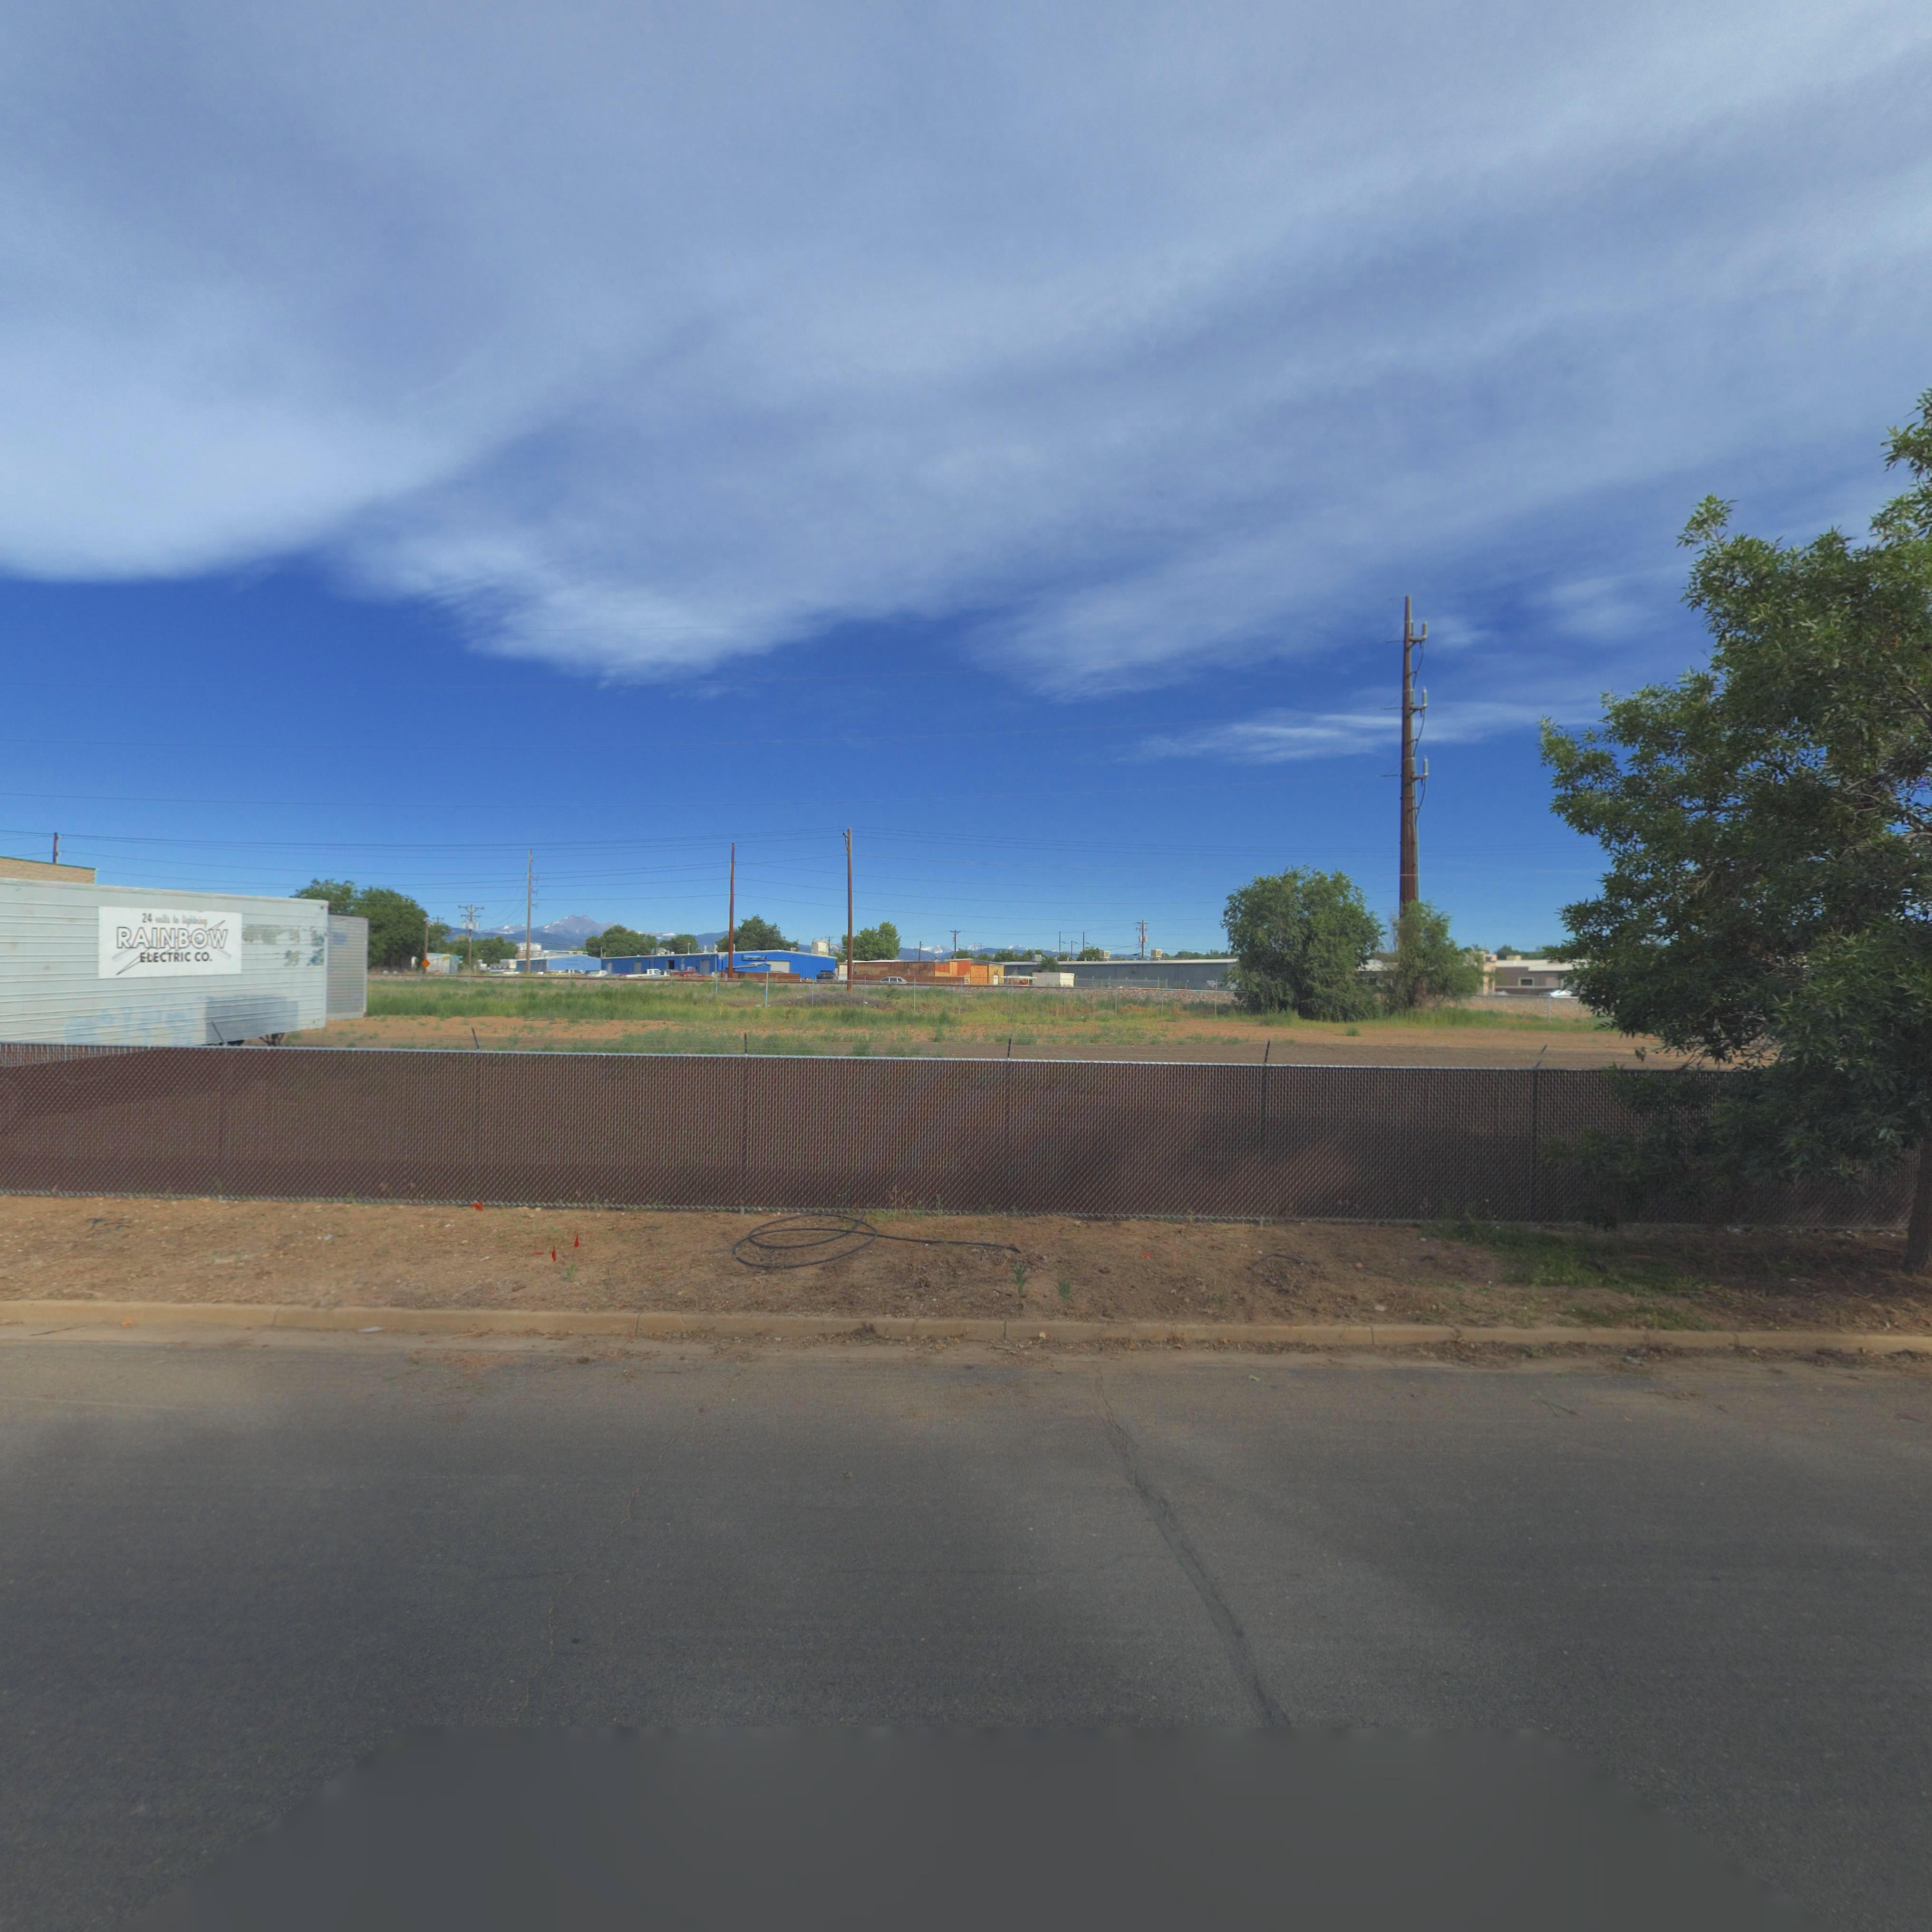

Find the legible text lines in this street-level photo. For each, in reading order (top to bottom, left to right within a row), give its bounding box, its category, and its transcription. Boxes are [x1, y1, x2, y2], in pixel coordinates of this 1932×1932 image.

[116, 926, 228, 948] BusinessName: RAINBOW
[139, 951, 210, 962] BusinessName: ELECTICAL CO